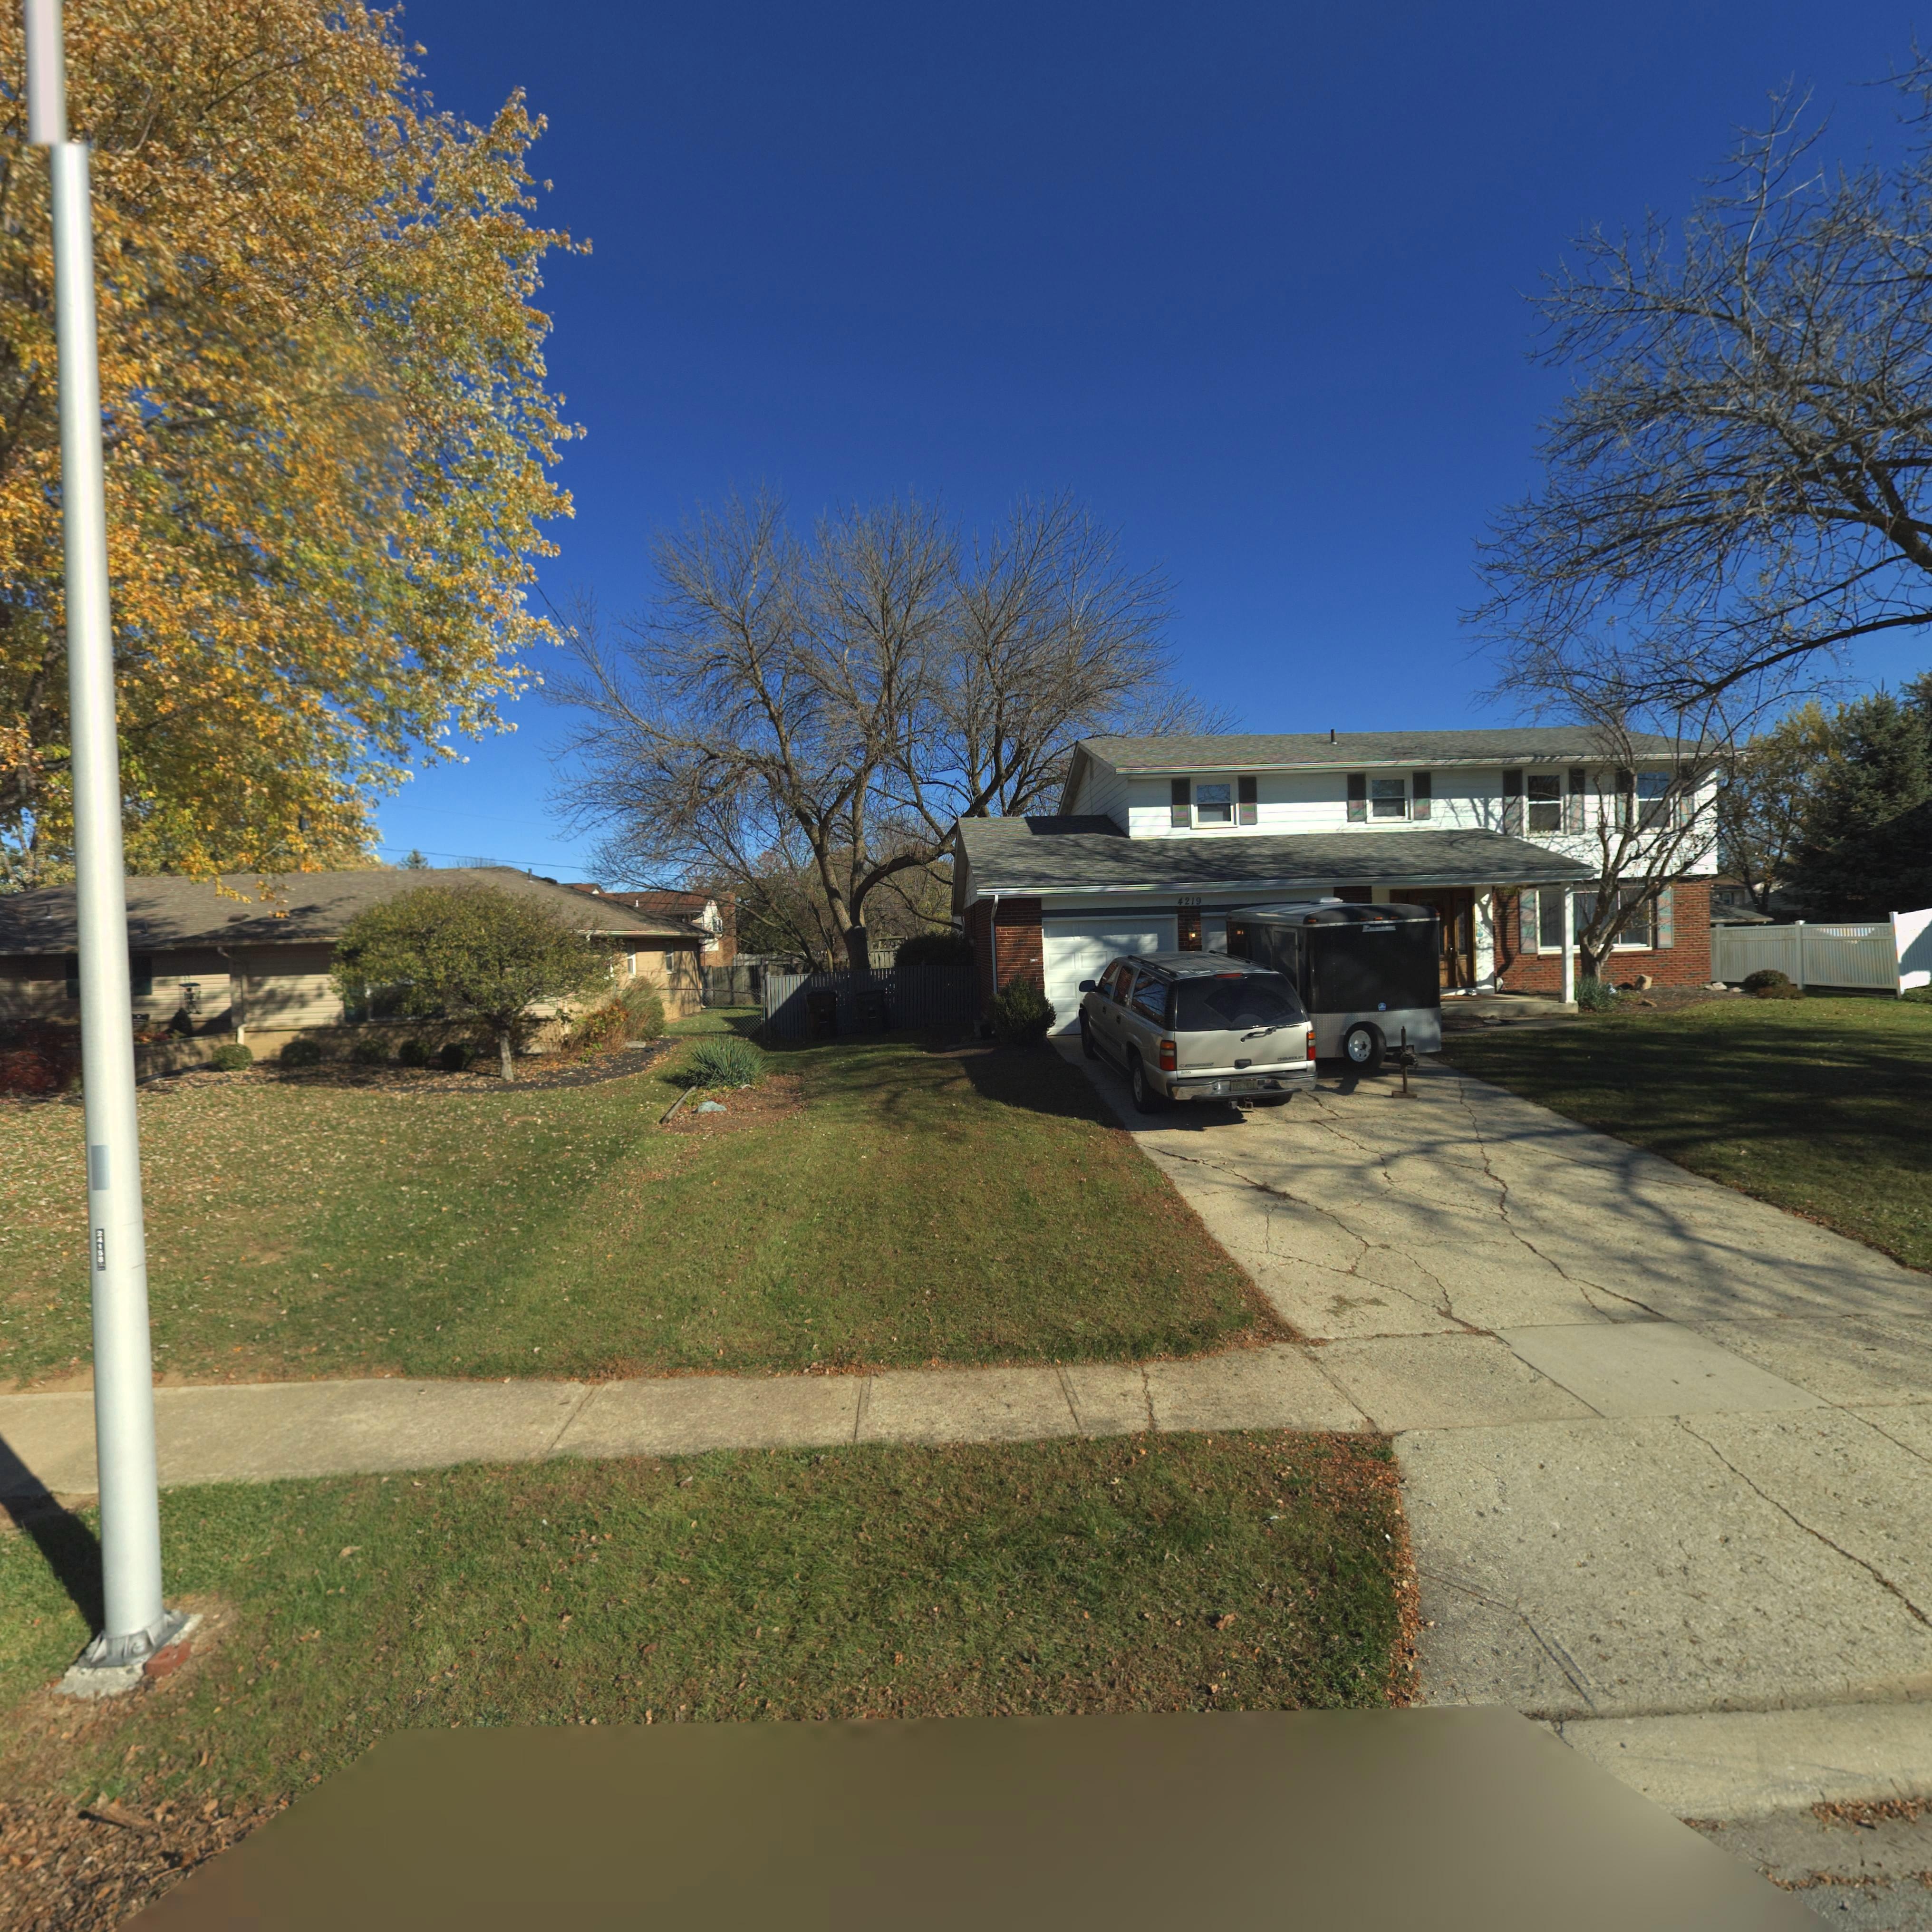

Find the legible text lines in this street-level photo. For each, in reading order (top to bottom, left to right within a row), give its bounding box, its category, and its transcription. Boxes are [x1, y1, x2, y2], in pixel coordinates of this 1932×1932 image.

[1176, 896, 1202, 907] StreetNumber: 4219